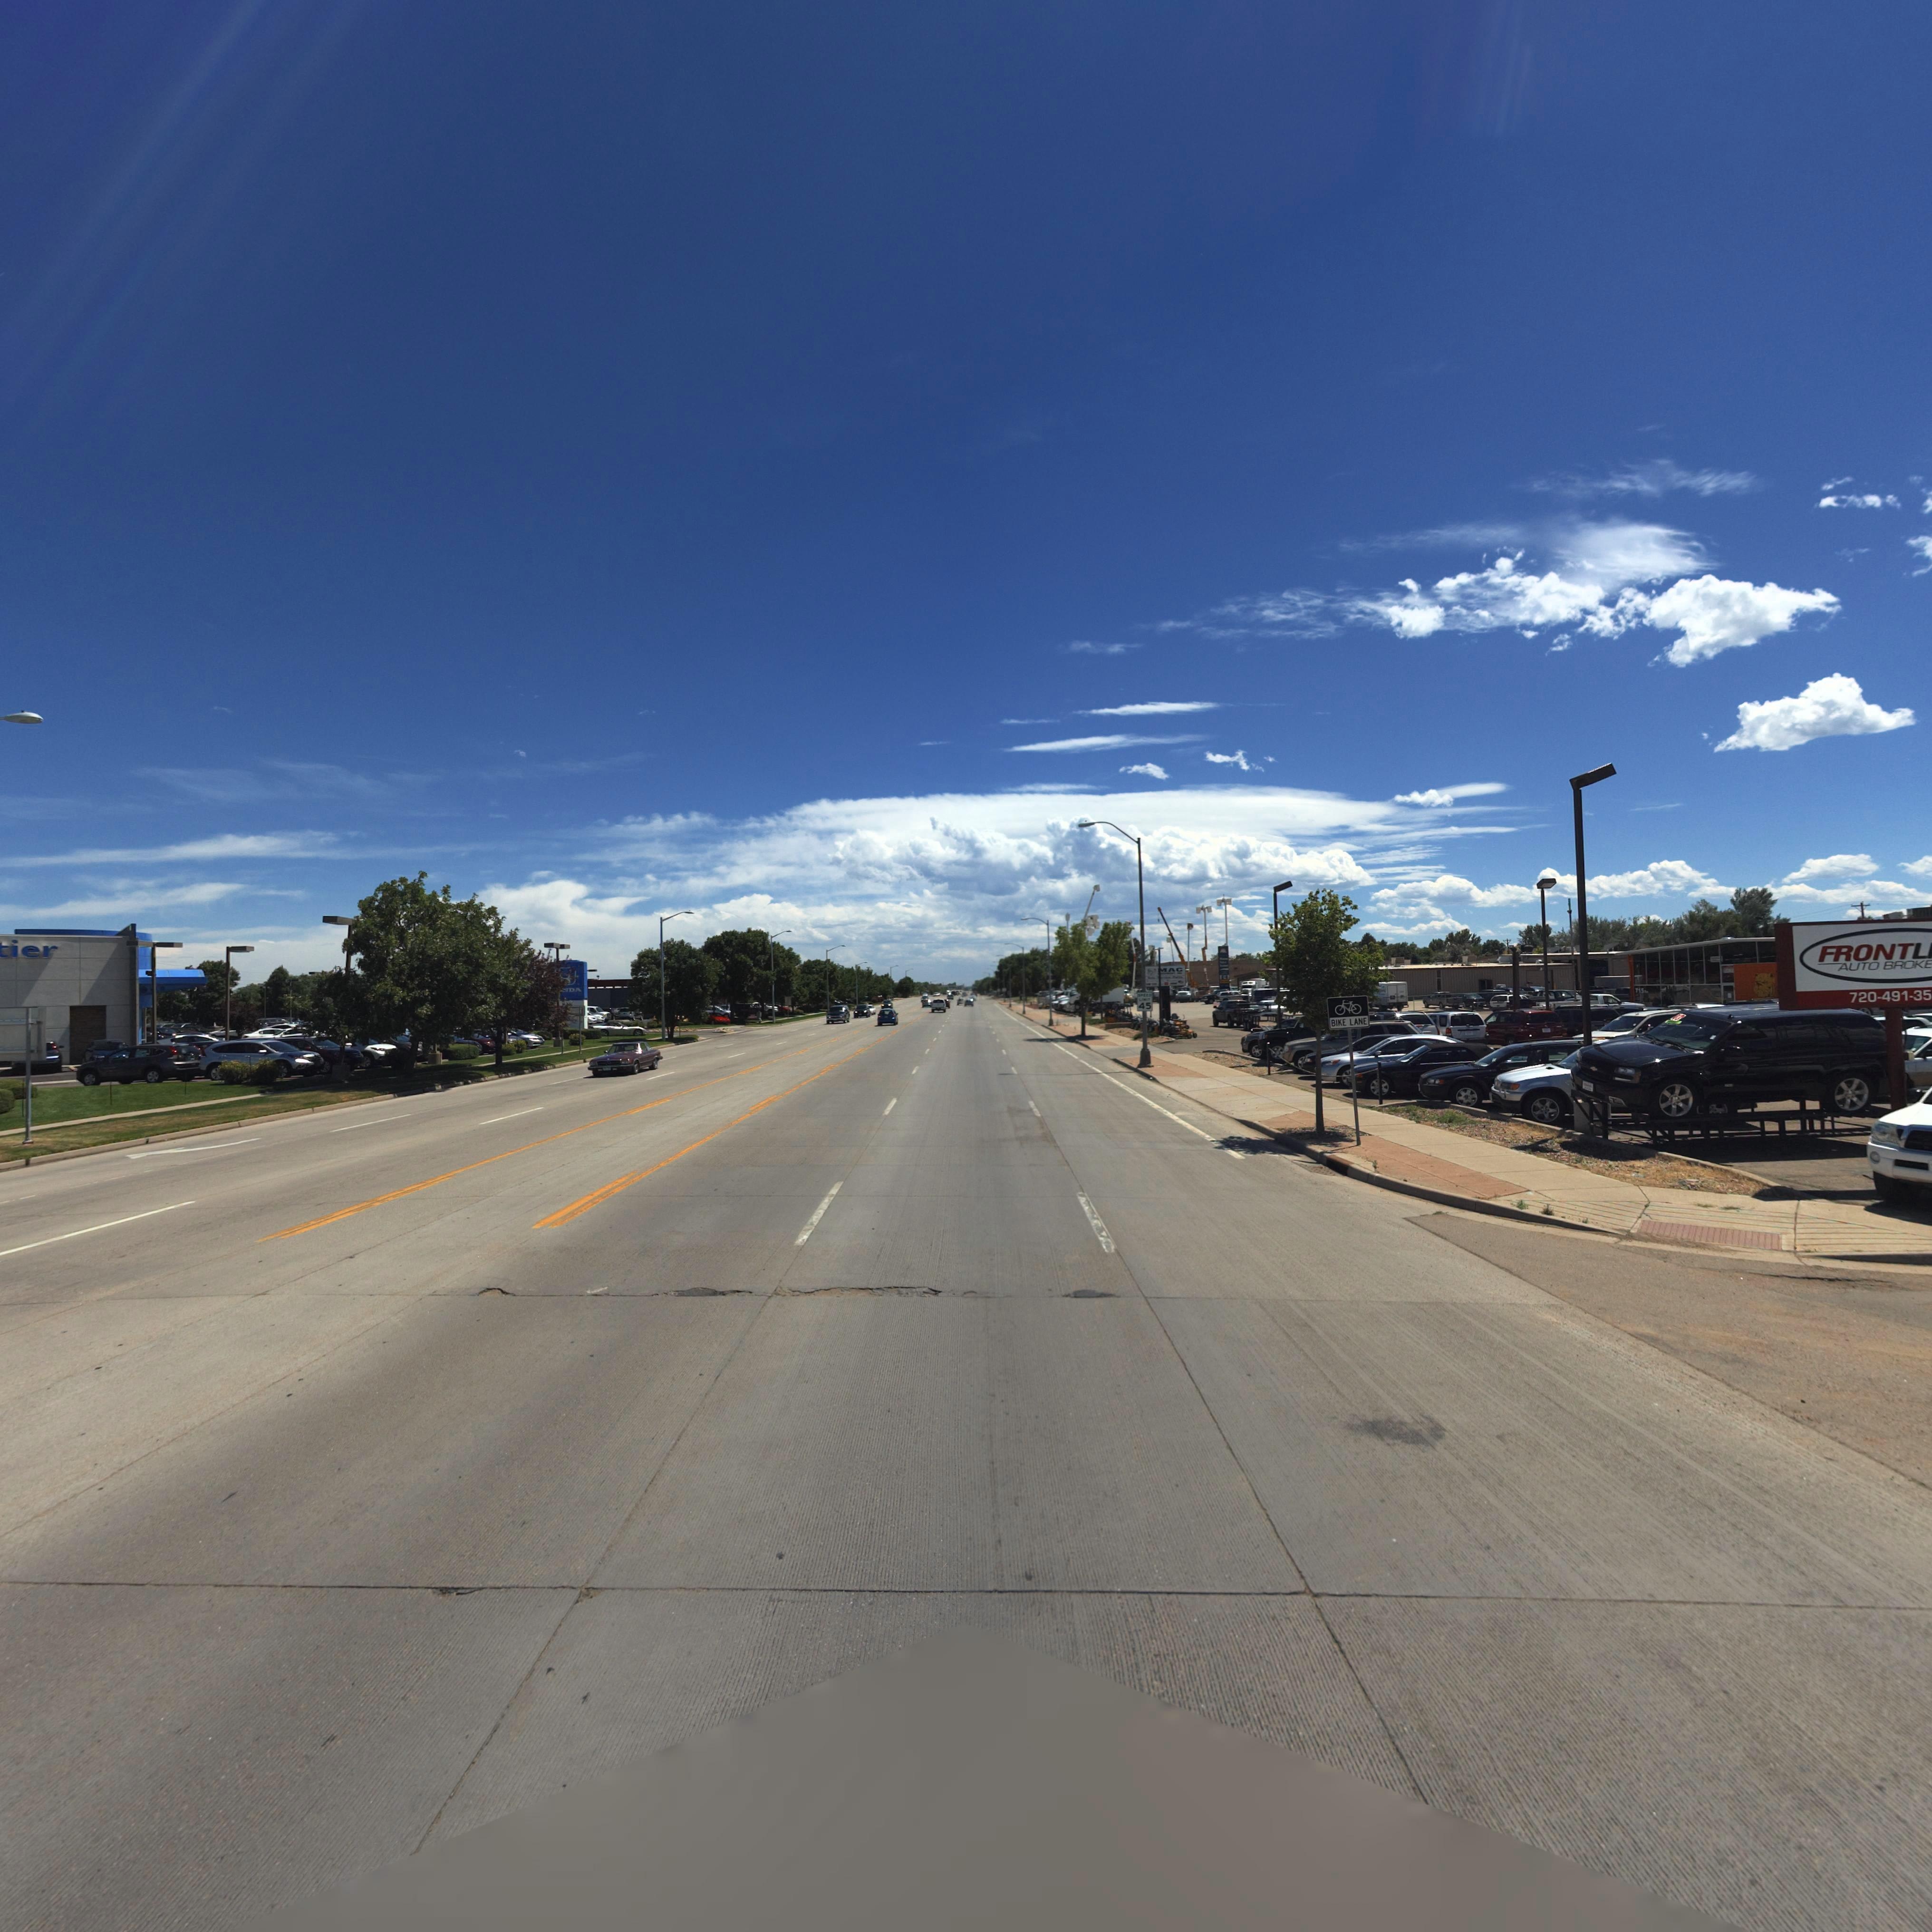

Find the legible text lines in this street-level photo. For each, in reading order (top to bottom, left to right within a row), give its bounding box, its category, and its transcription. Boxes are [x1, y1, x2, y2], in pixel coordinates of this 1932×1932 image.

[10, 938, 59, 958] BusinessName: ier
[1817, 942, 1928, 963] BusinessName: FRONTL
[1158, 967, 1183, 972] BusinessName: MAC
[1837, 959, 1931, 972] BusinessName: AUTO BROKE
[561, 987, 582, 993] BusinessName: *DA